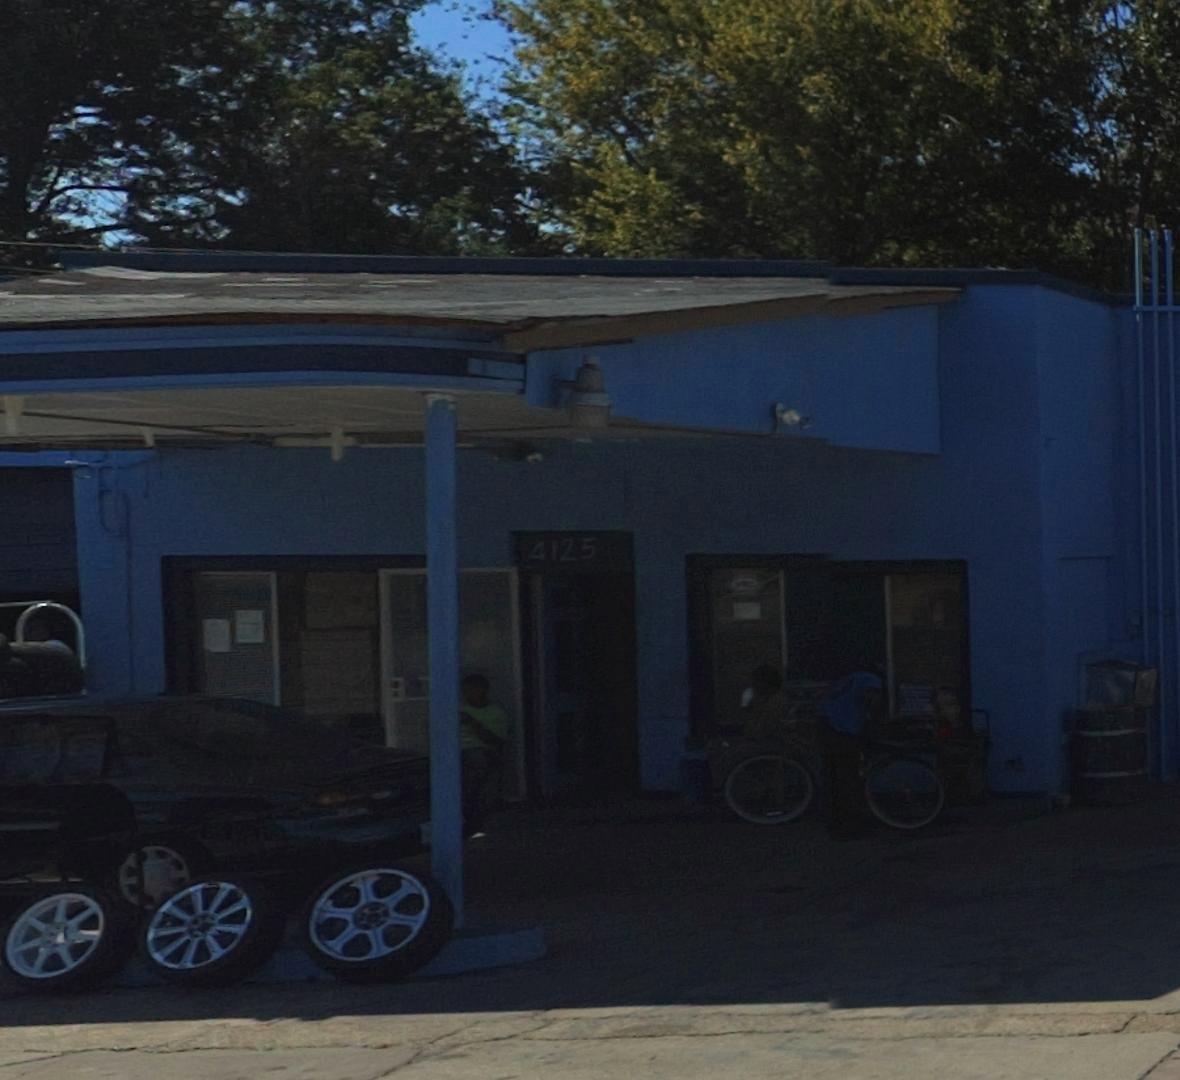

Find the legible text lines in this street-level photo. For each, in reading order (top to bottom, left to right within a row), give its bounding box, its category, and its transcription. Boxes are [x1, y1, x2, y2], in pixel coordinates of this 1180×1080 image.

[525, 536, 600, 564] StreetNumber: 4125